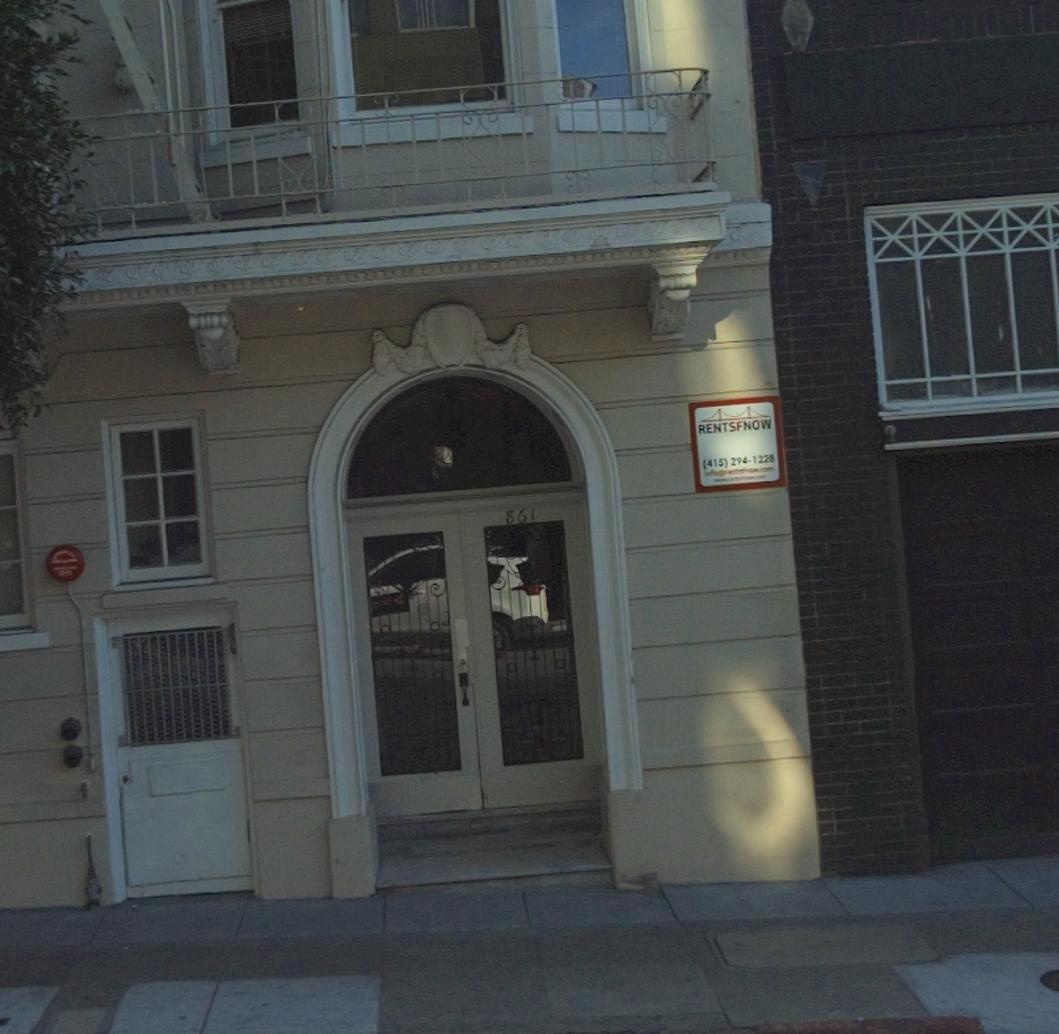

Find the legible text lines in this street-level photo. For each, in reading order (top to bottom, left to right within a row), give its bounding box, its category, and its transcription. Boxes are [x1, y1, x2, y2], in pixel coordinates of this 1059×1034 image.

[697, 417, 775, 435] None: RENTSFNOW
[702, 453, 776, 471] None: (415) 294-1228
[504, 507, 537, 525] StreetNumber: 861